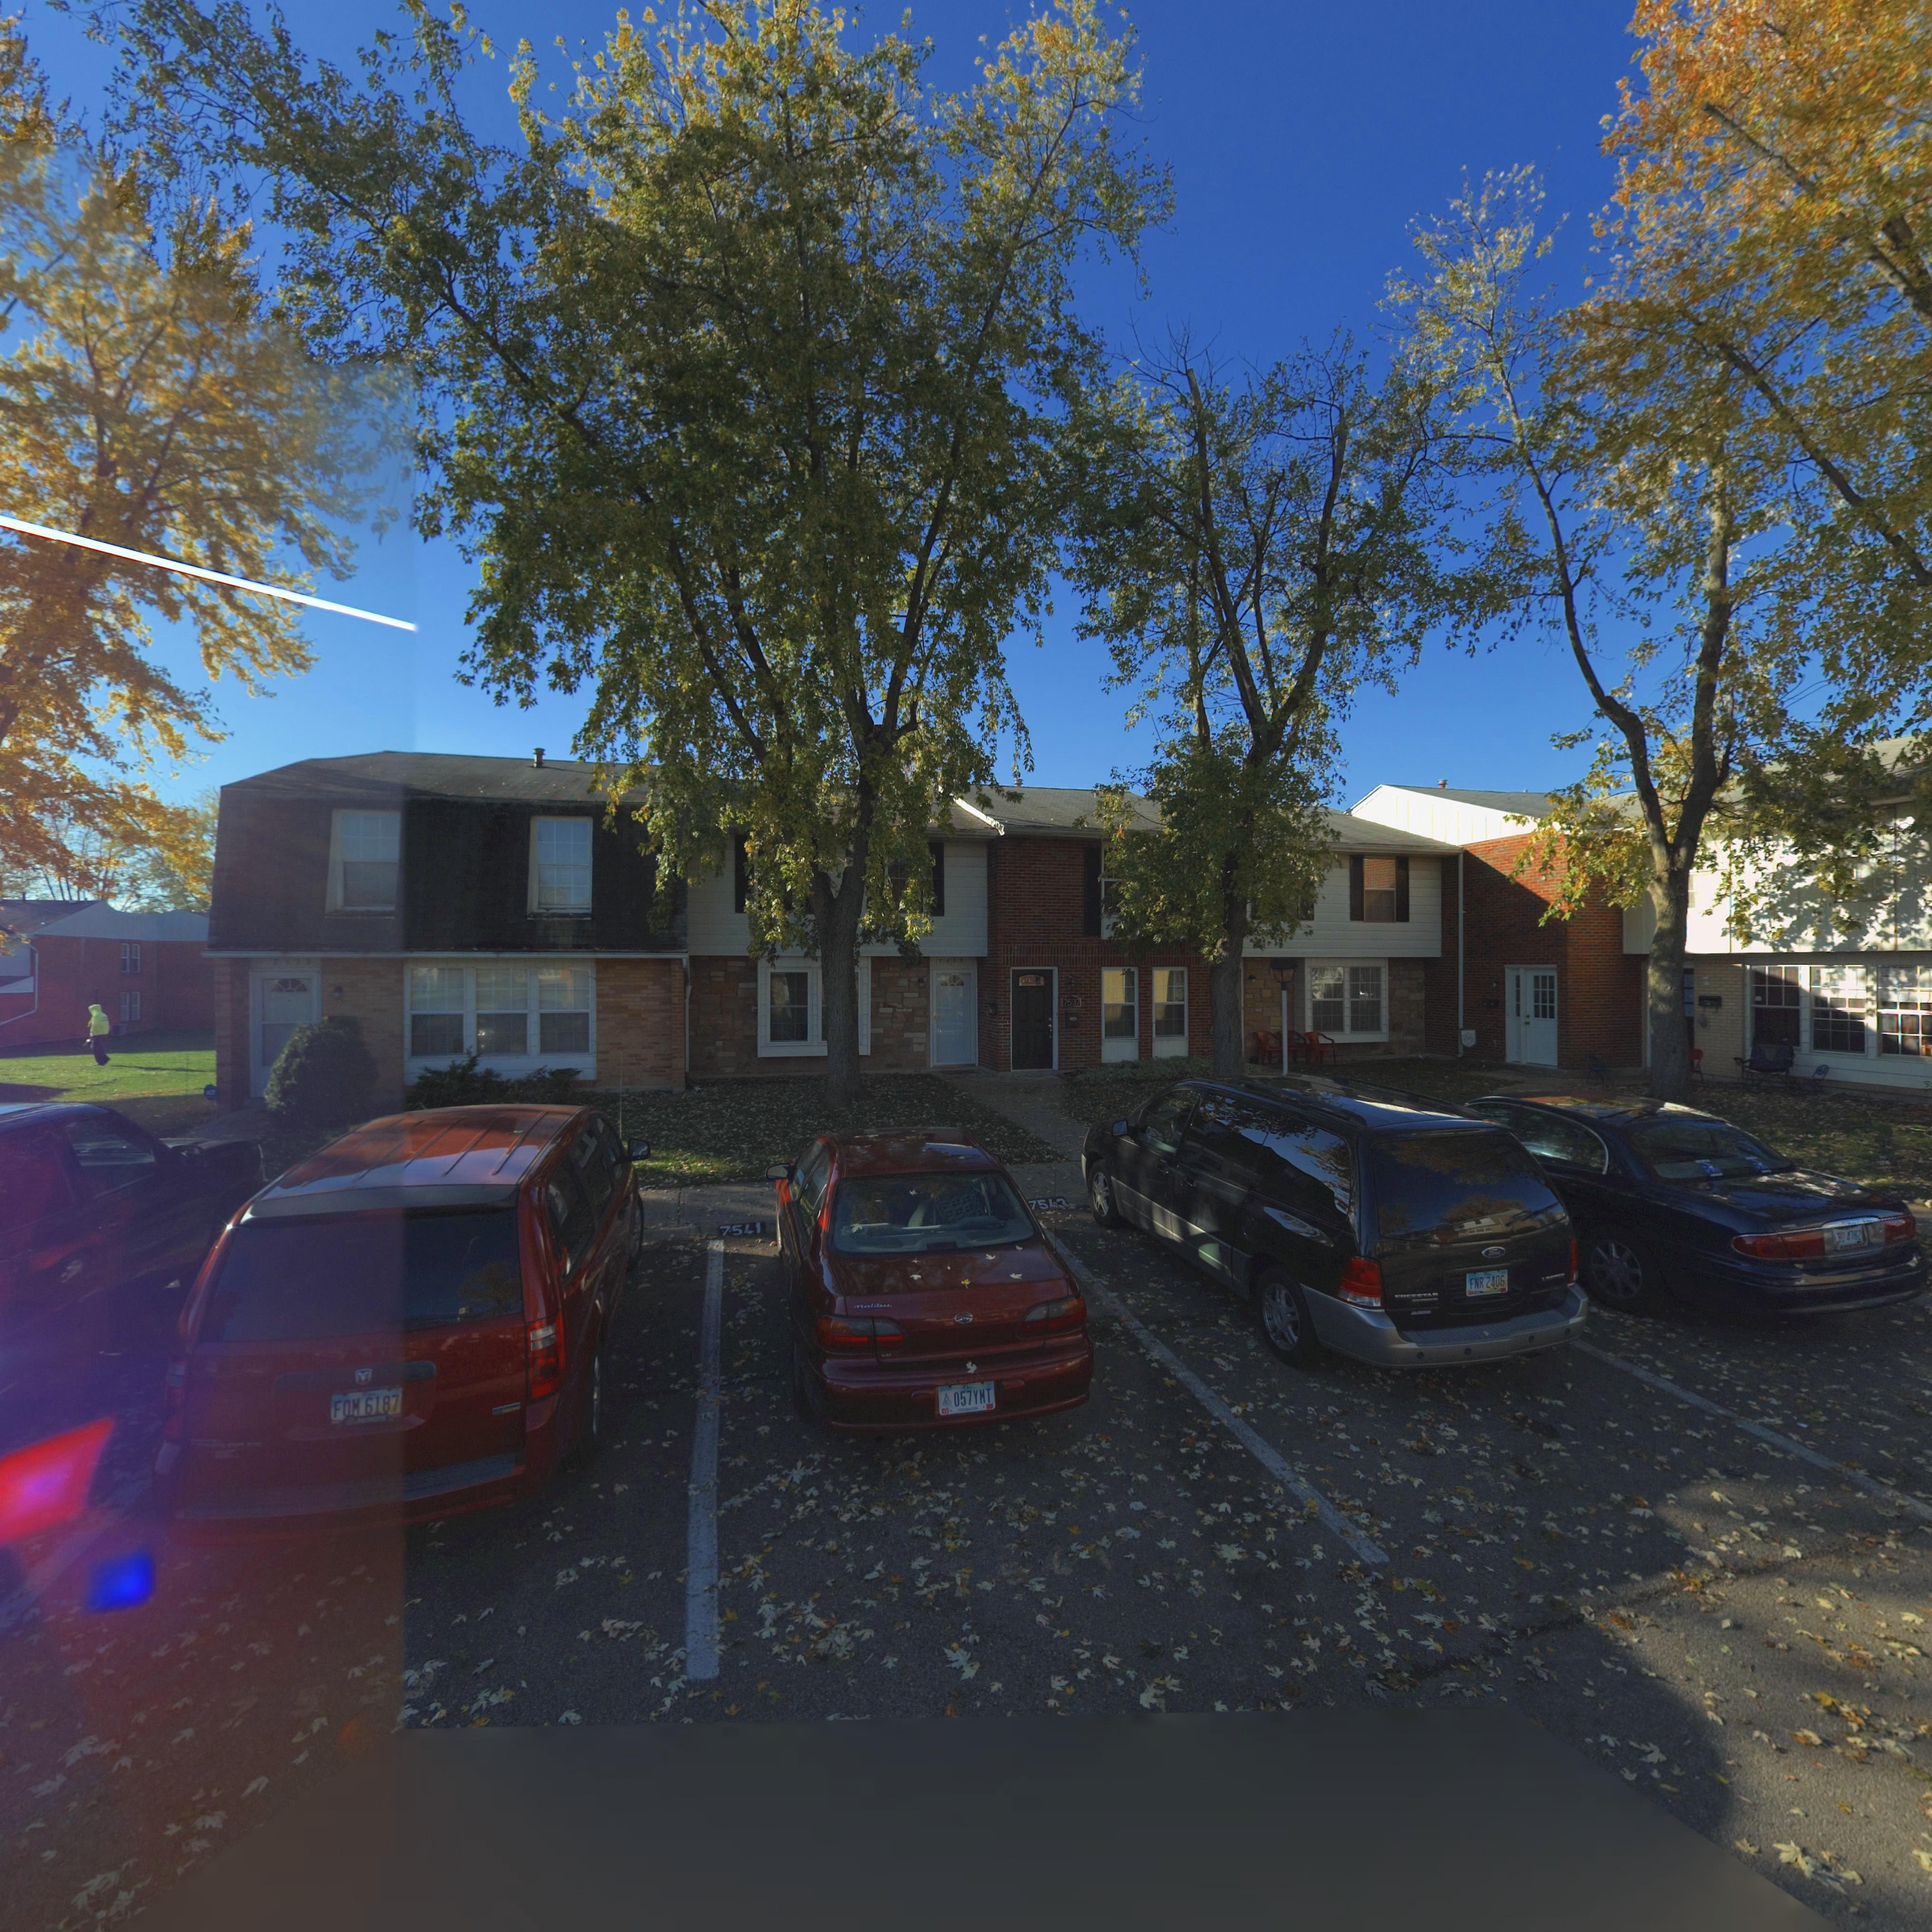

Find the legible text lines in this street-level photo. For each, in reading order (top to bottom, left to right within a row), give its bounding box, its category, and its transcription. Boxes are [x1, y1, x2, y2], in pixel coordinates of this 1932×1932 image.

[271, 957, 311, 966] StreetNumber: 7533
[937, 957, 965, 965] StreetNumber: 7535
[1063, 998, 1081, 1006] StreetNumber: 7537
[1026, 1197, 1070, 1211] StreetNumber: 7543
[719, 1221, 762, 1236] StreetNumber: 7541